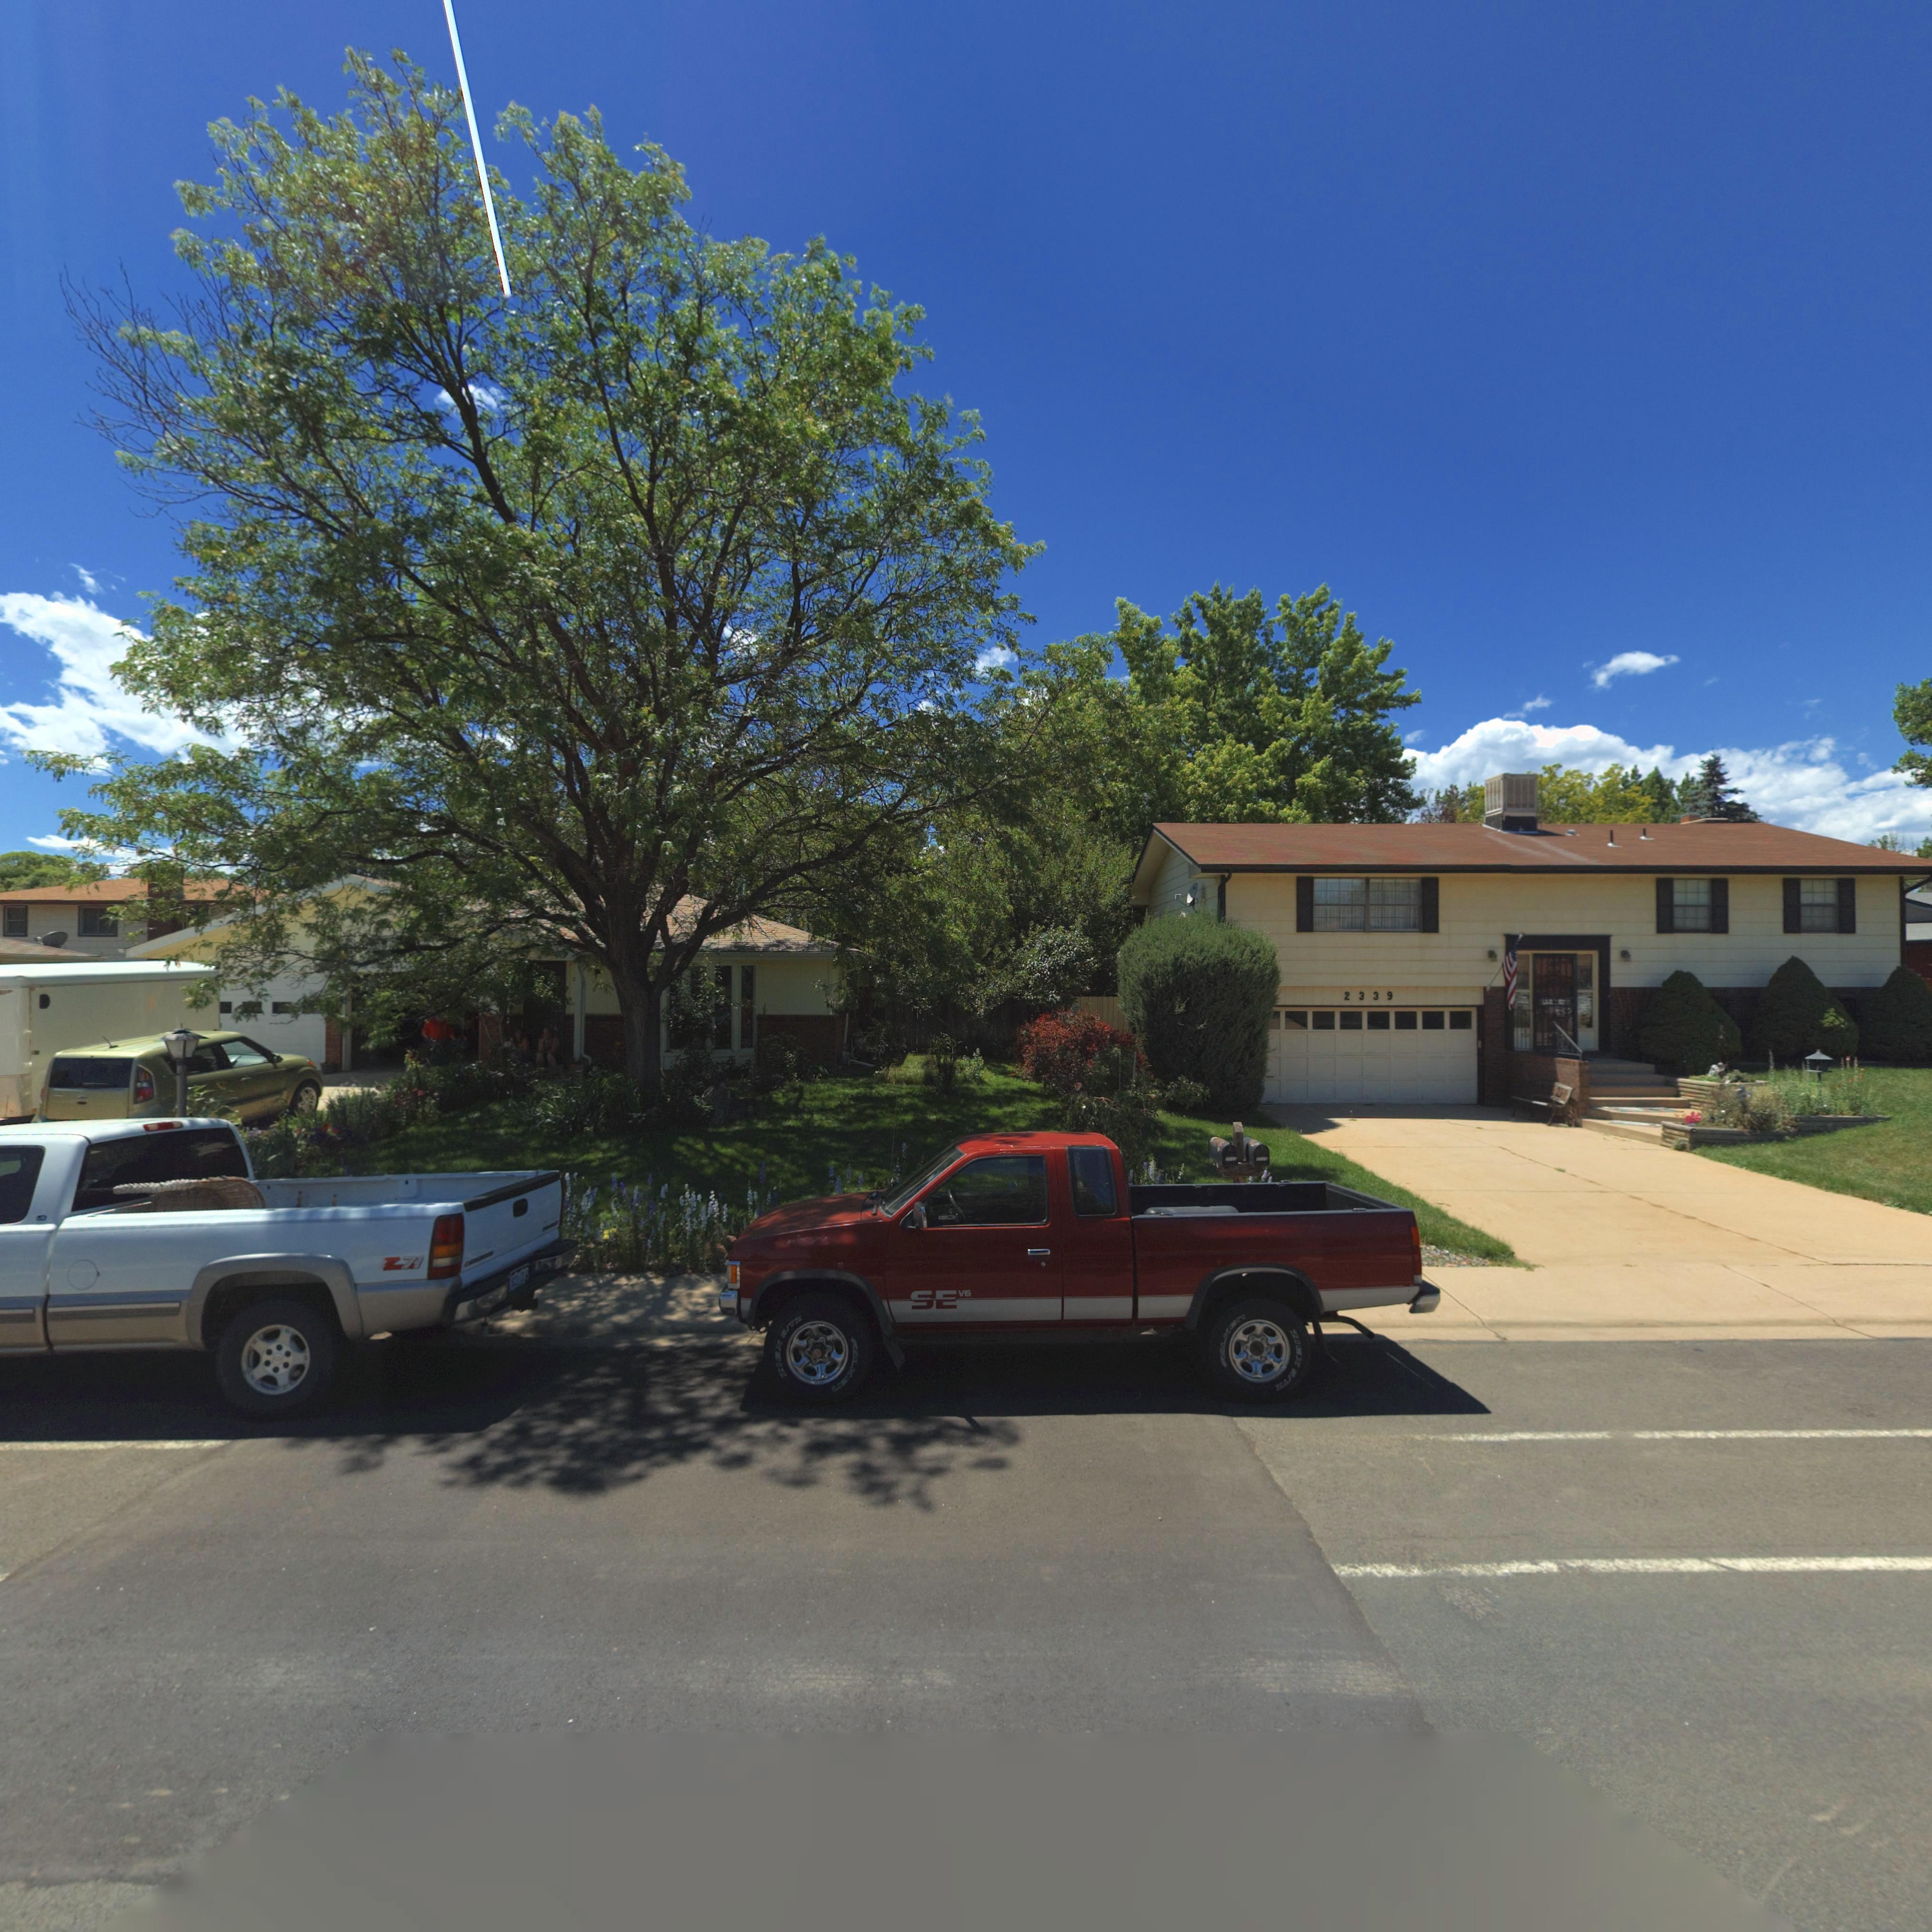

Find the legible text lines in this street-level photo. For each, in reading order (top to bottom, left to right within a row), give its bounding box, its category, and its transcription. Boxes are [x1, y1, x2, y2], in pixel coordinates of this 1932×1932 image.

[1344, 991, 1392, 1000] StreetNumber: 2339